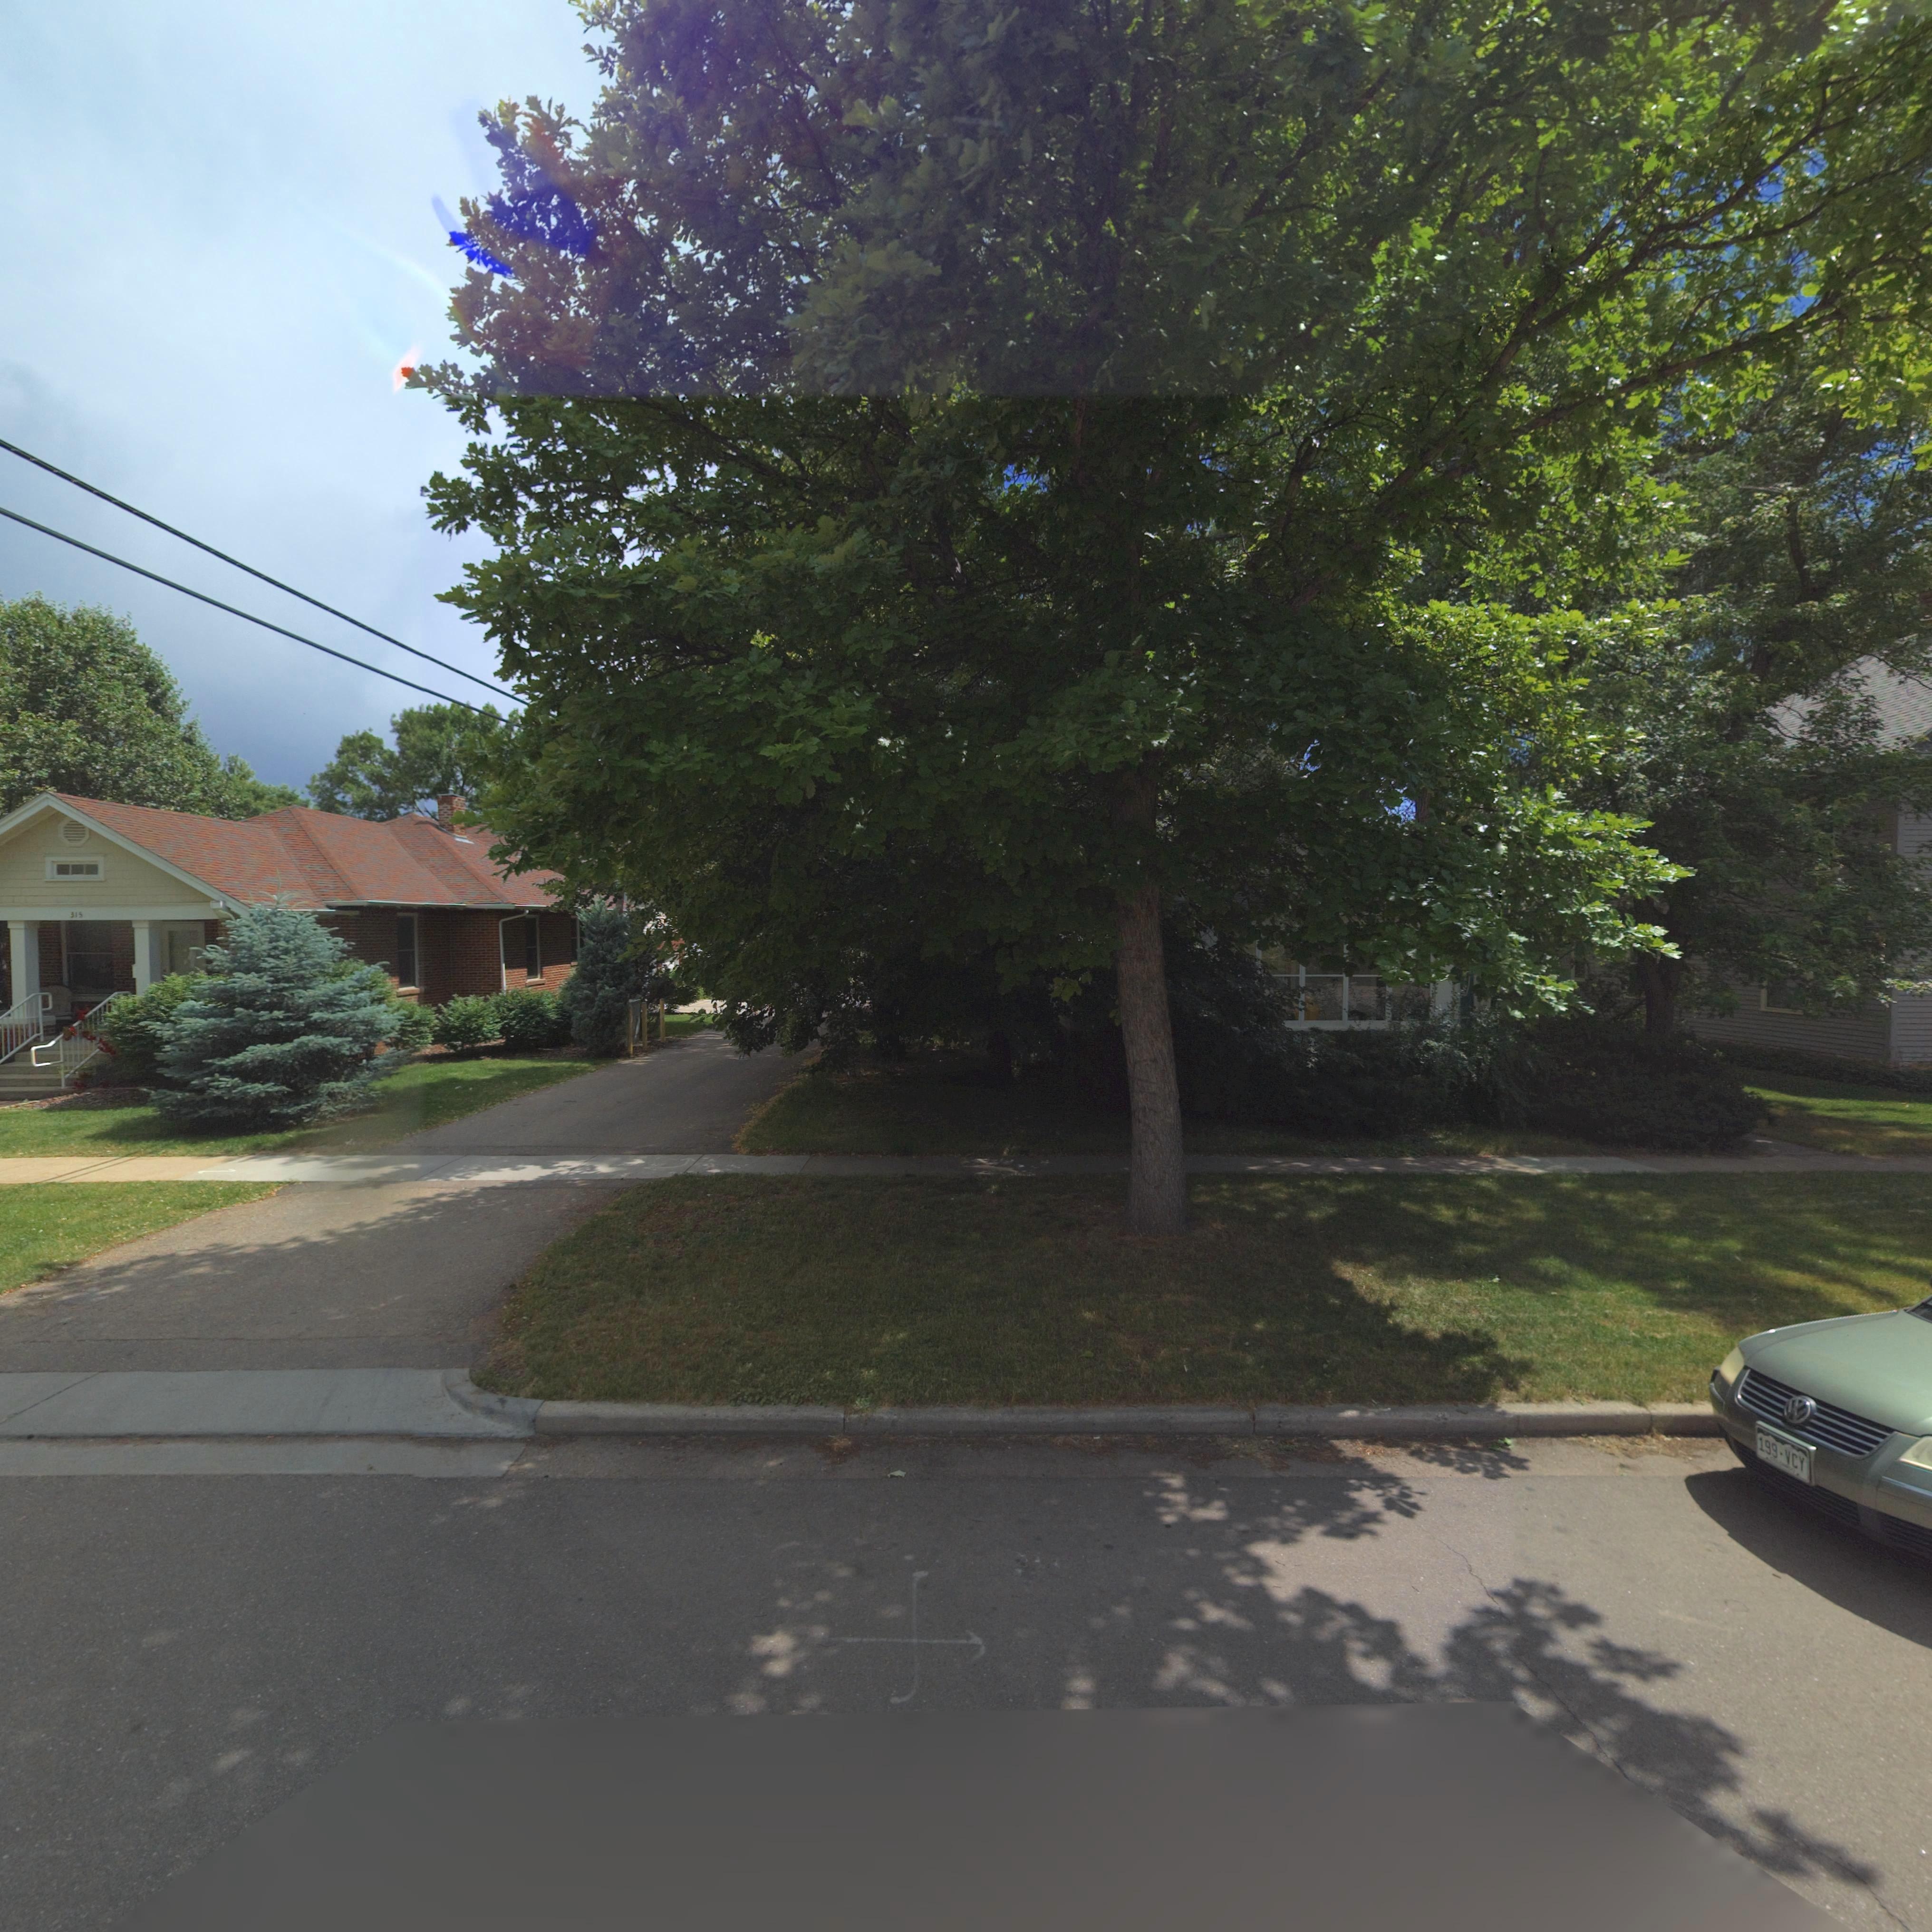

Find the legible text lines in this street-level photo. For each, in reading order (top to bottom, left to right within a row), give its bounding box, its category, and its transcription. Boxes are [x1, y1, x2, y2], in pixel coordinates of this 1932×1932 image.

[70, 911, 83, 918] StreetNumber: 315